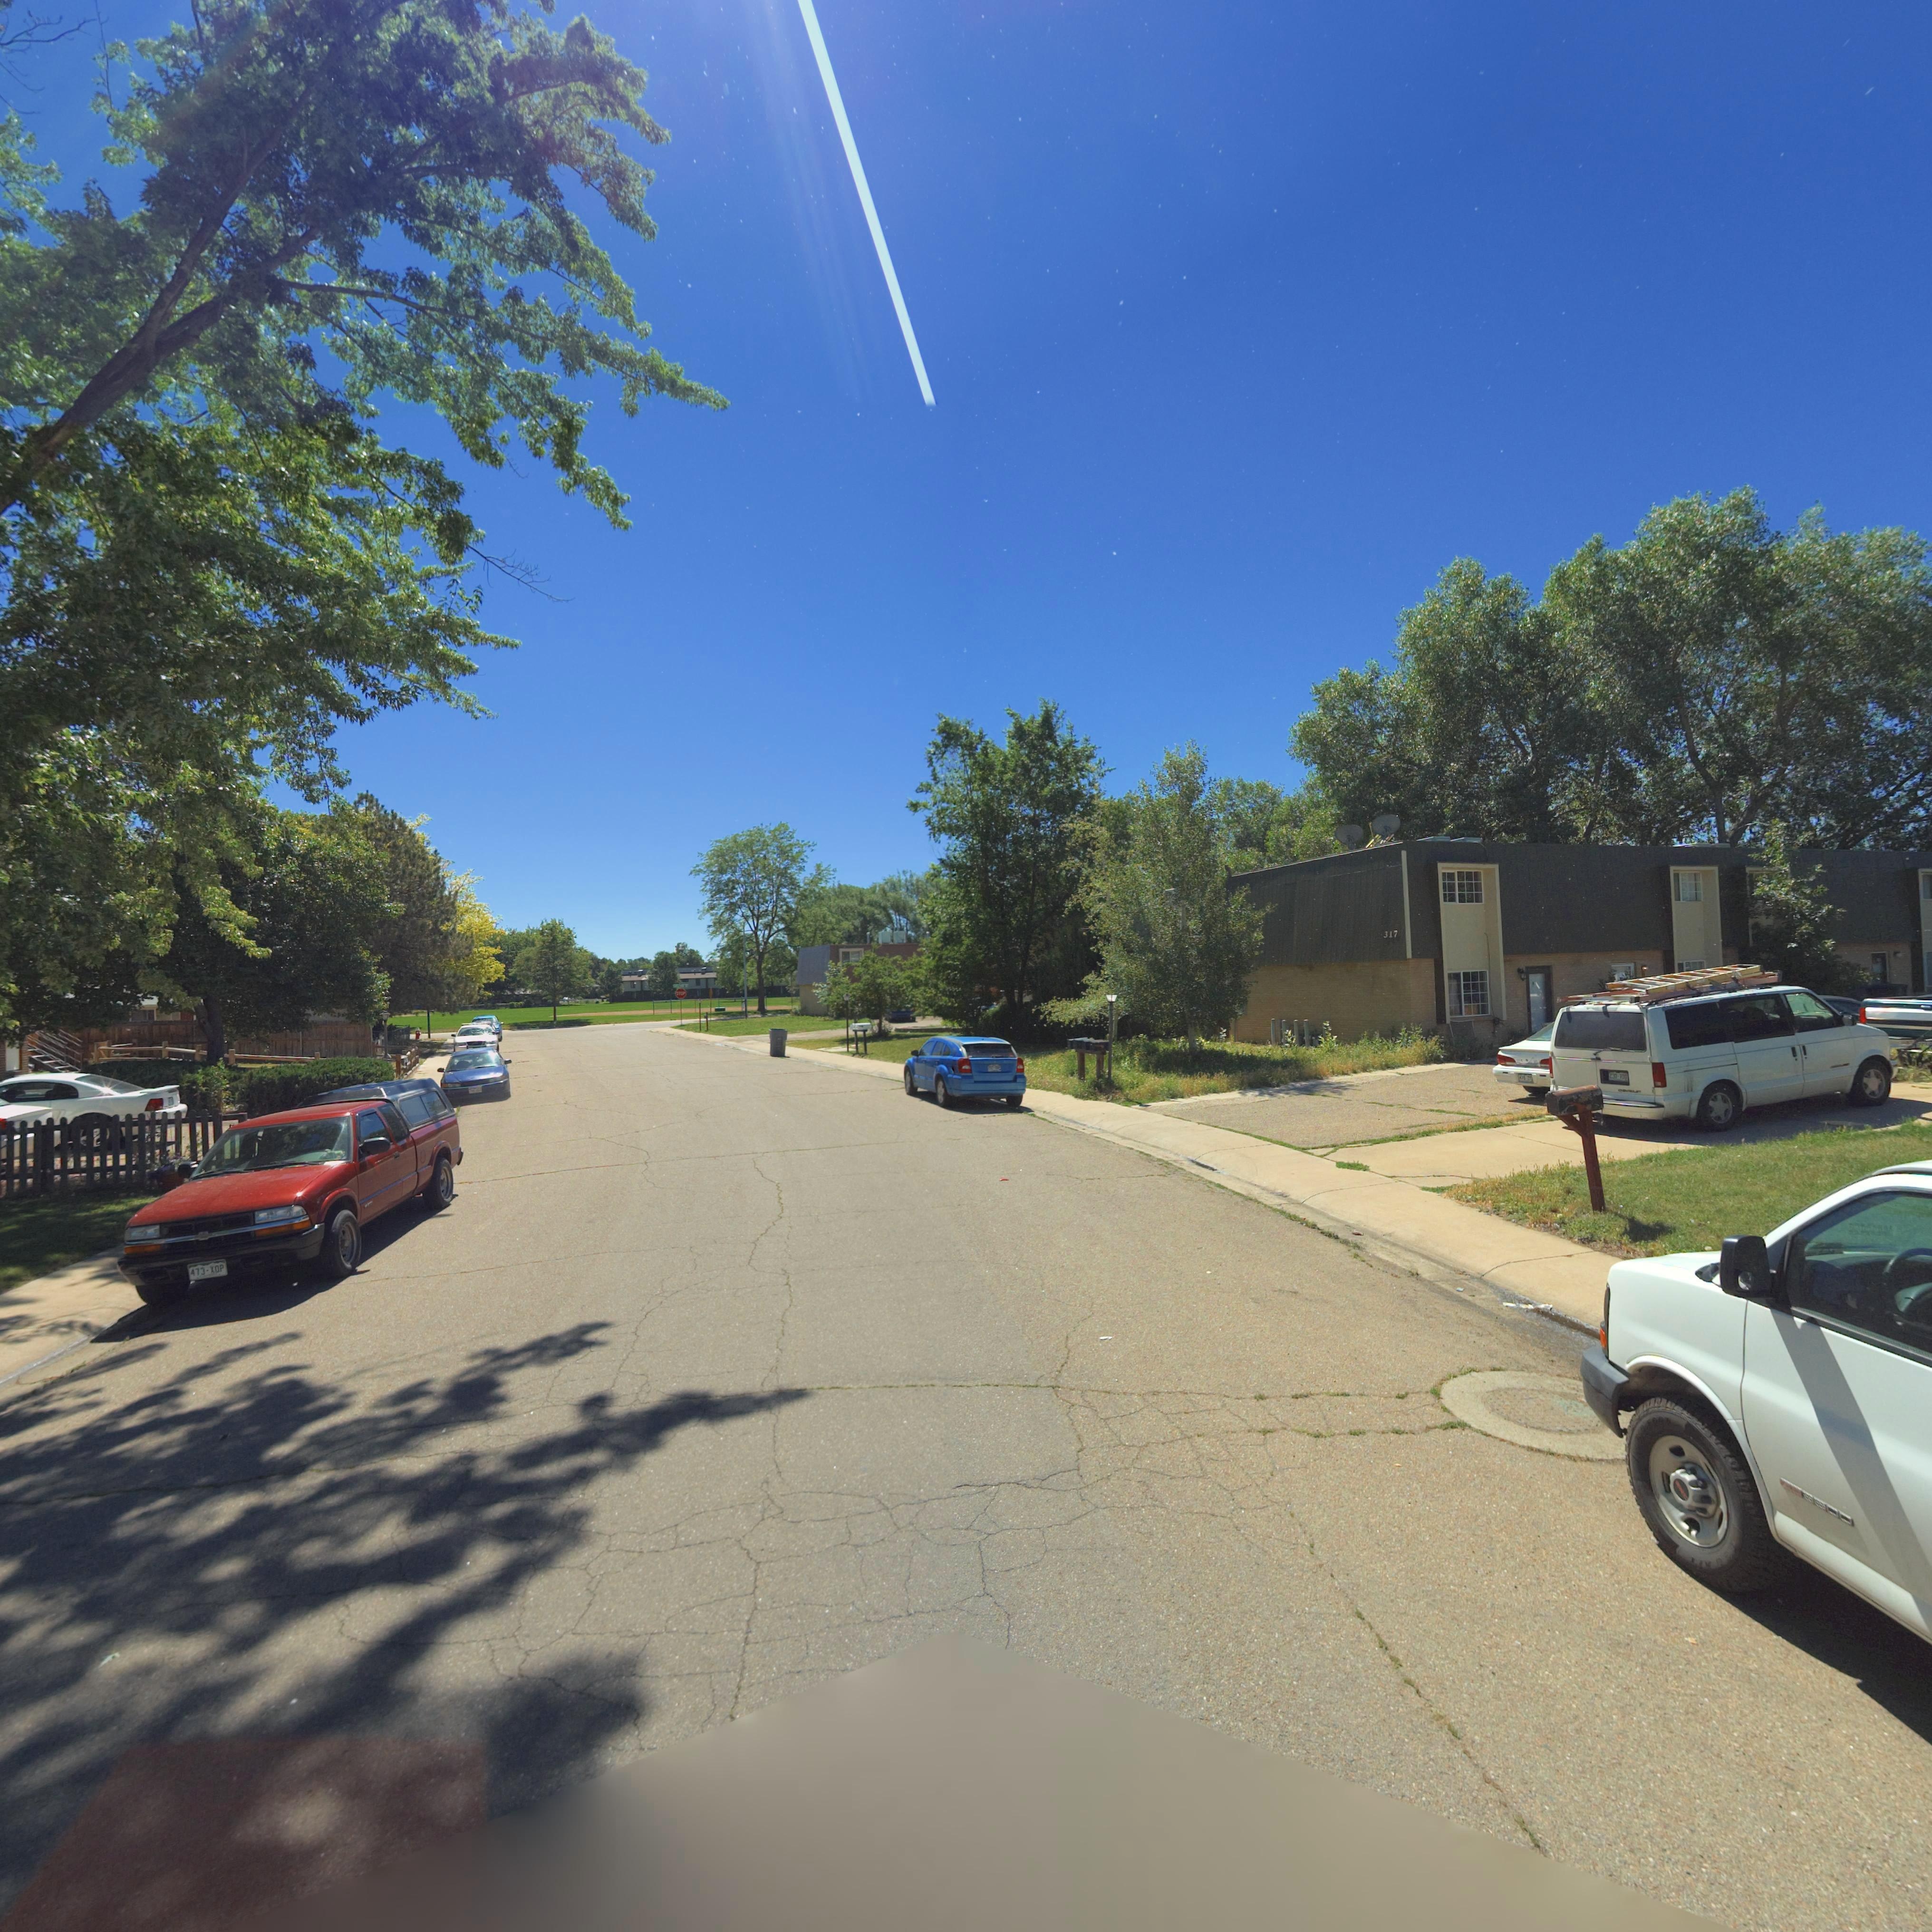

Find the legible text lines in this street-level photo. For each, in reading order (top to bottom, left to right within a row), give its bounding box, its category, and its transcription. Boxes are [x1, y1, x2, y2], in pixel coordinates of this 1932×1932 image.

[1383, 929, 1399, 938] StreetNumber: 317